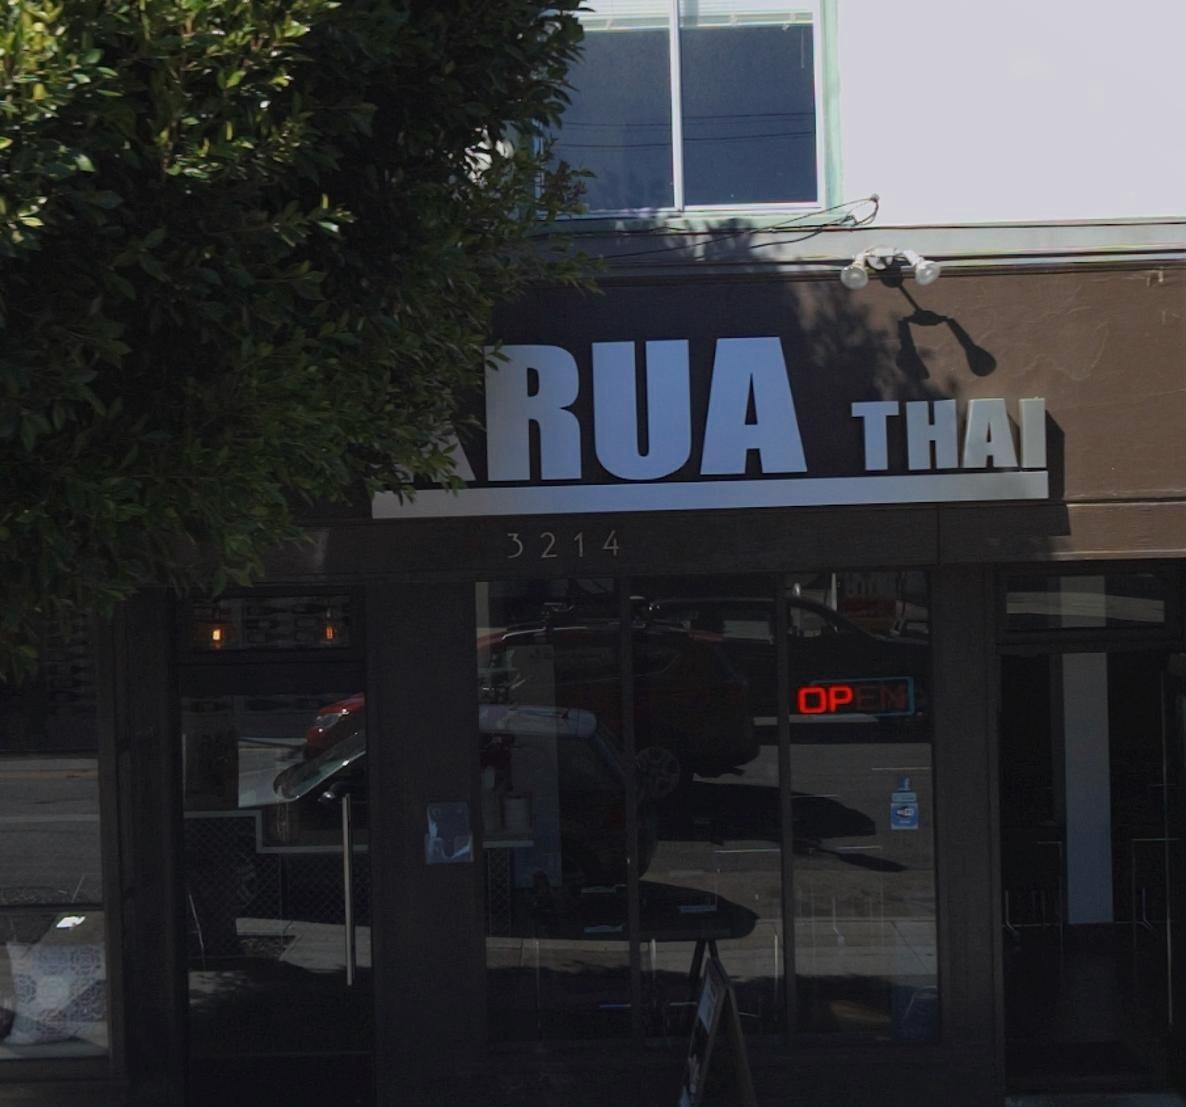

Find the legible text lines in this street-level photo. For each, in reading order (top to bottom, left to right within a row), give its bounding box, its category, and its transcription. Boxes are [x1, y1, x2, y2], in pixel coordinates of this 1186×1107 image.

[479, 332, 1053, 485] BusinessName: RUA THAI
[505, 528, 621, 561] StreetNumber: 3214
[793, 681, 910, 716] None: OPEN